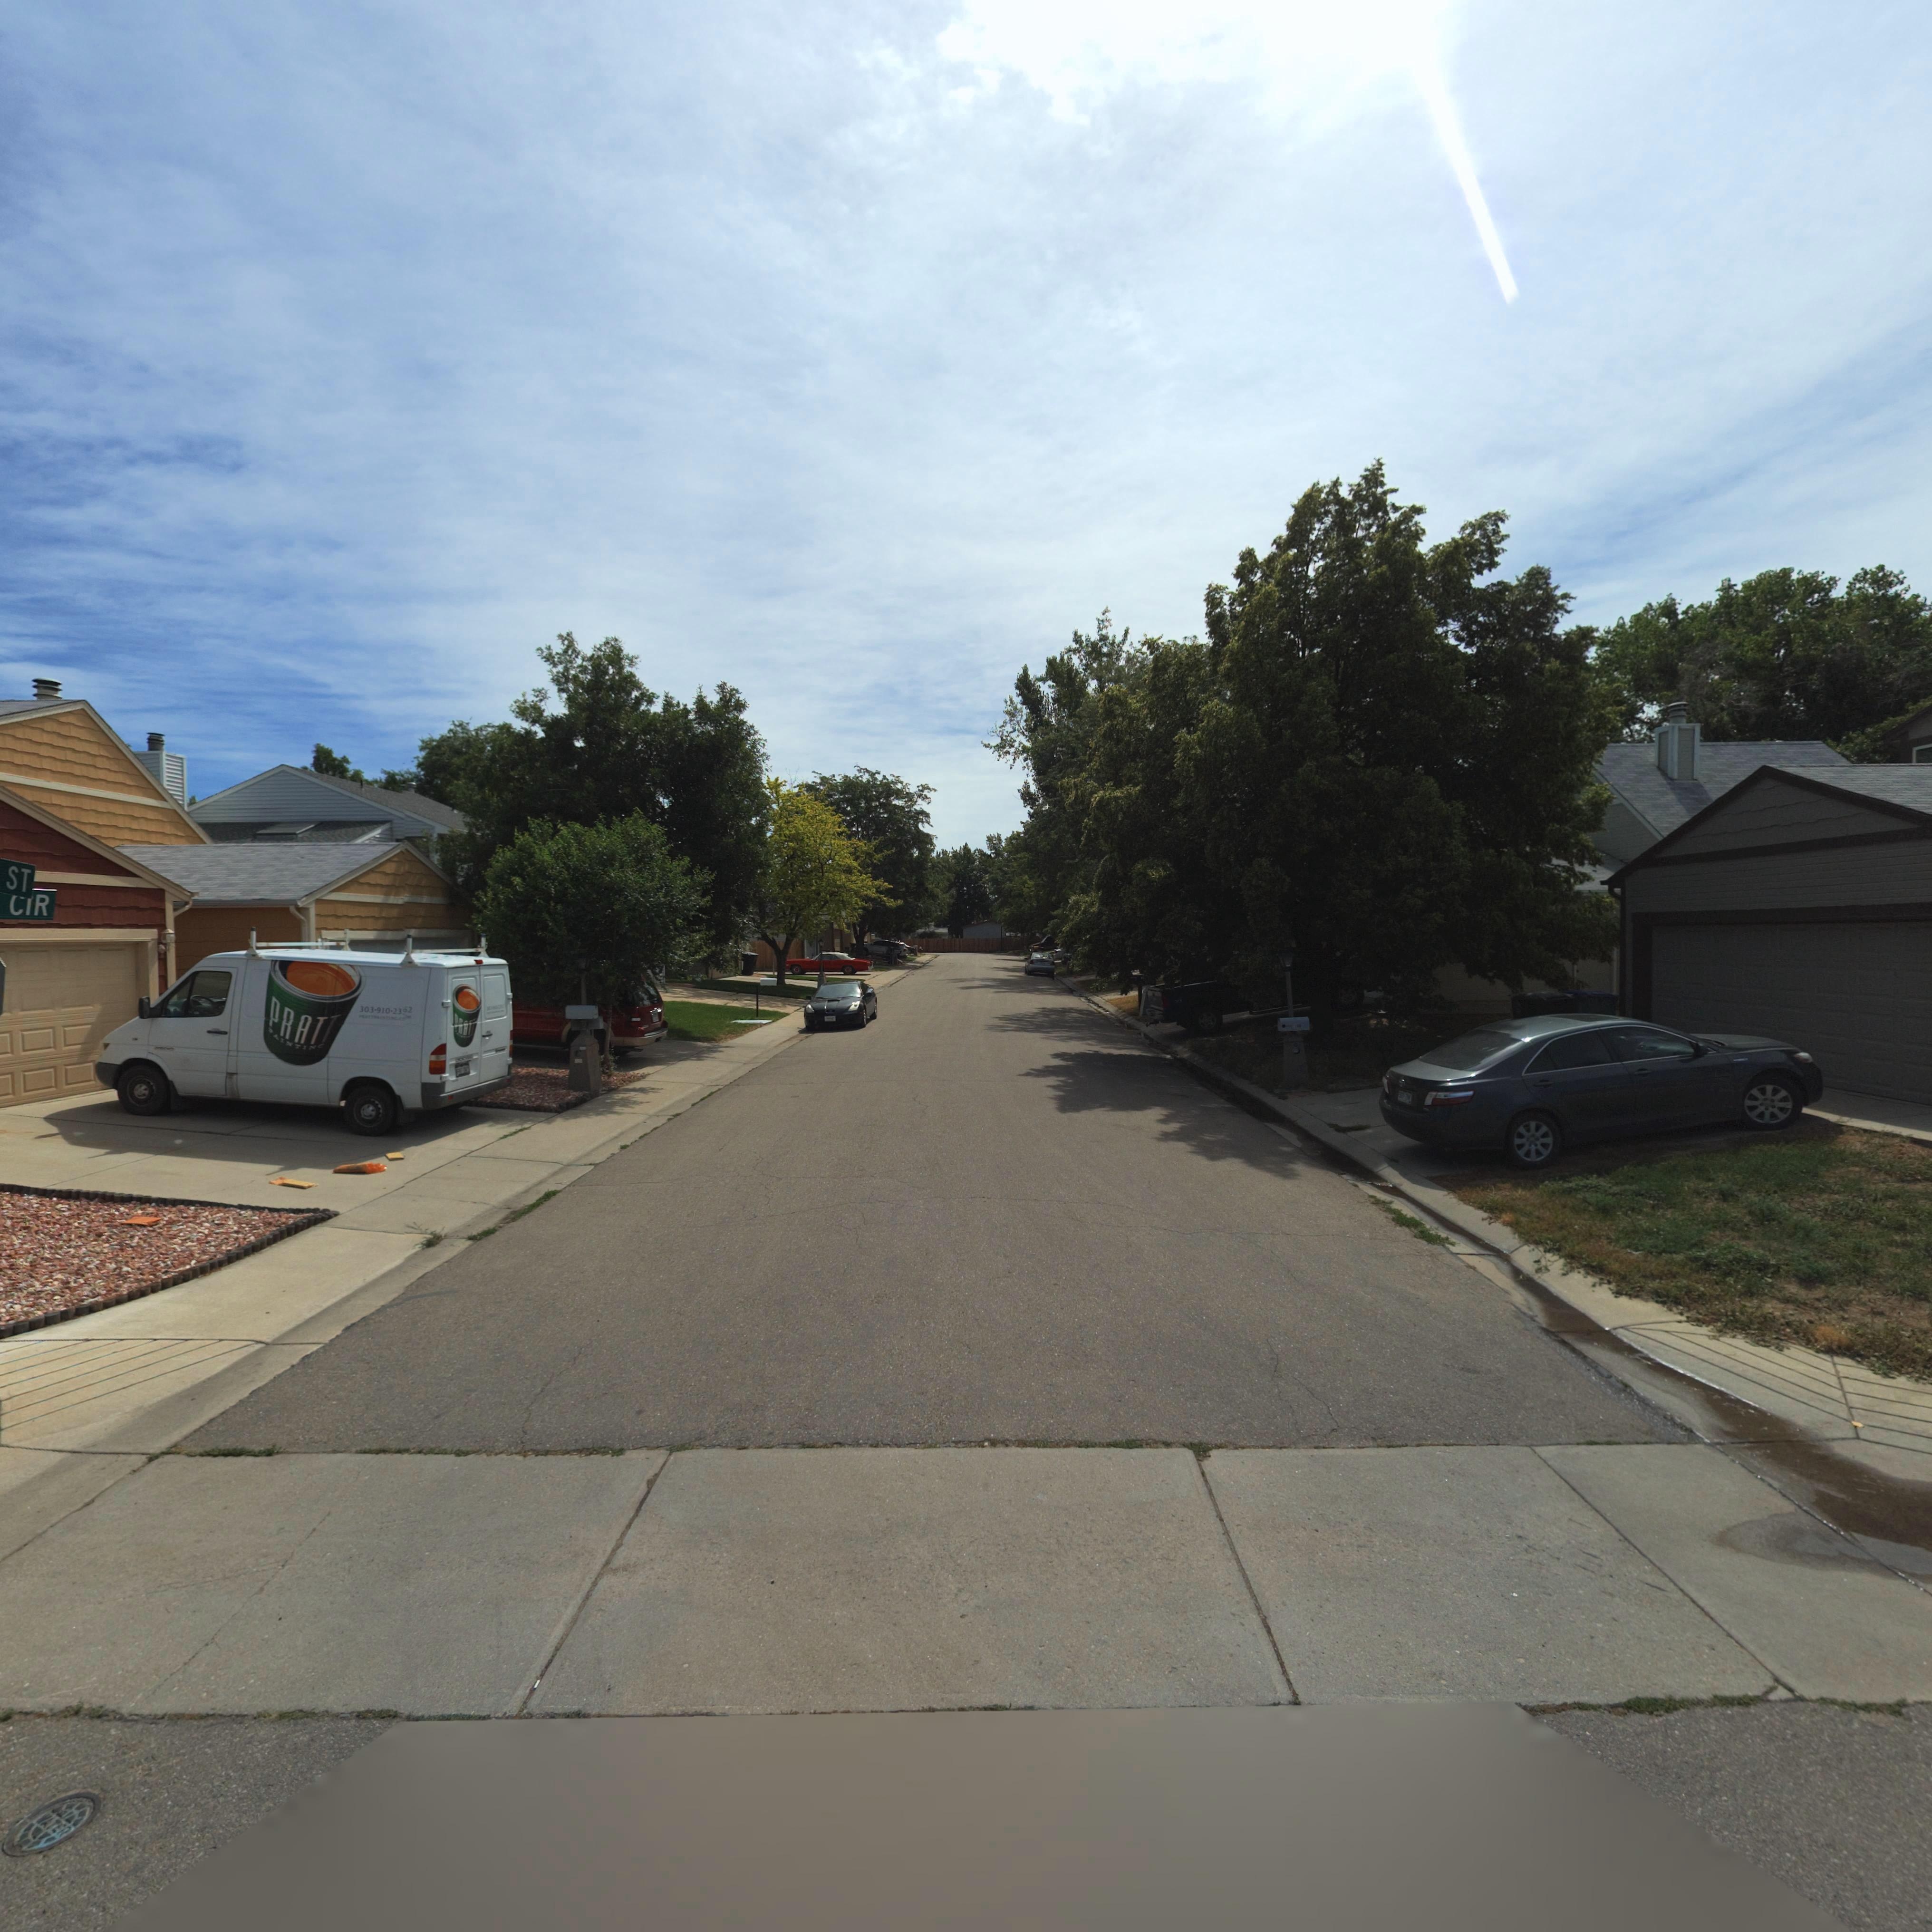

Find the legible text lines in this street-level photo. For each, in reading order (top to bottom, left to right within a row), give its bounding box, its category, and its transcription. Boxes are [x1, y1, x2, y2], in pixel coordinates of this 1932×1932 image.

[5, 864, 32, 893] StreetName: ST
[8, 892, 50, 916] StreetName: CIR